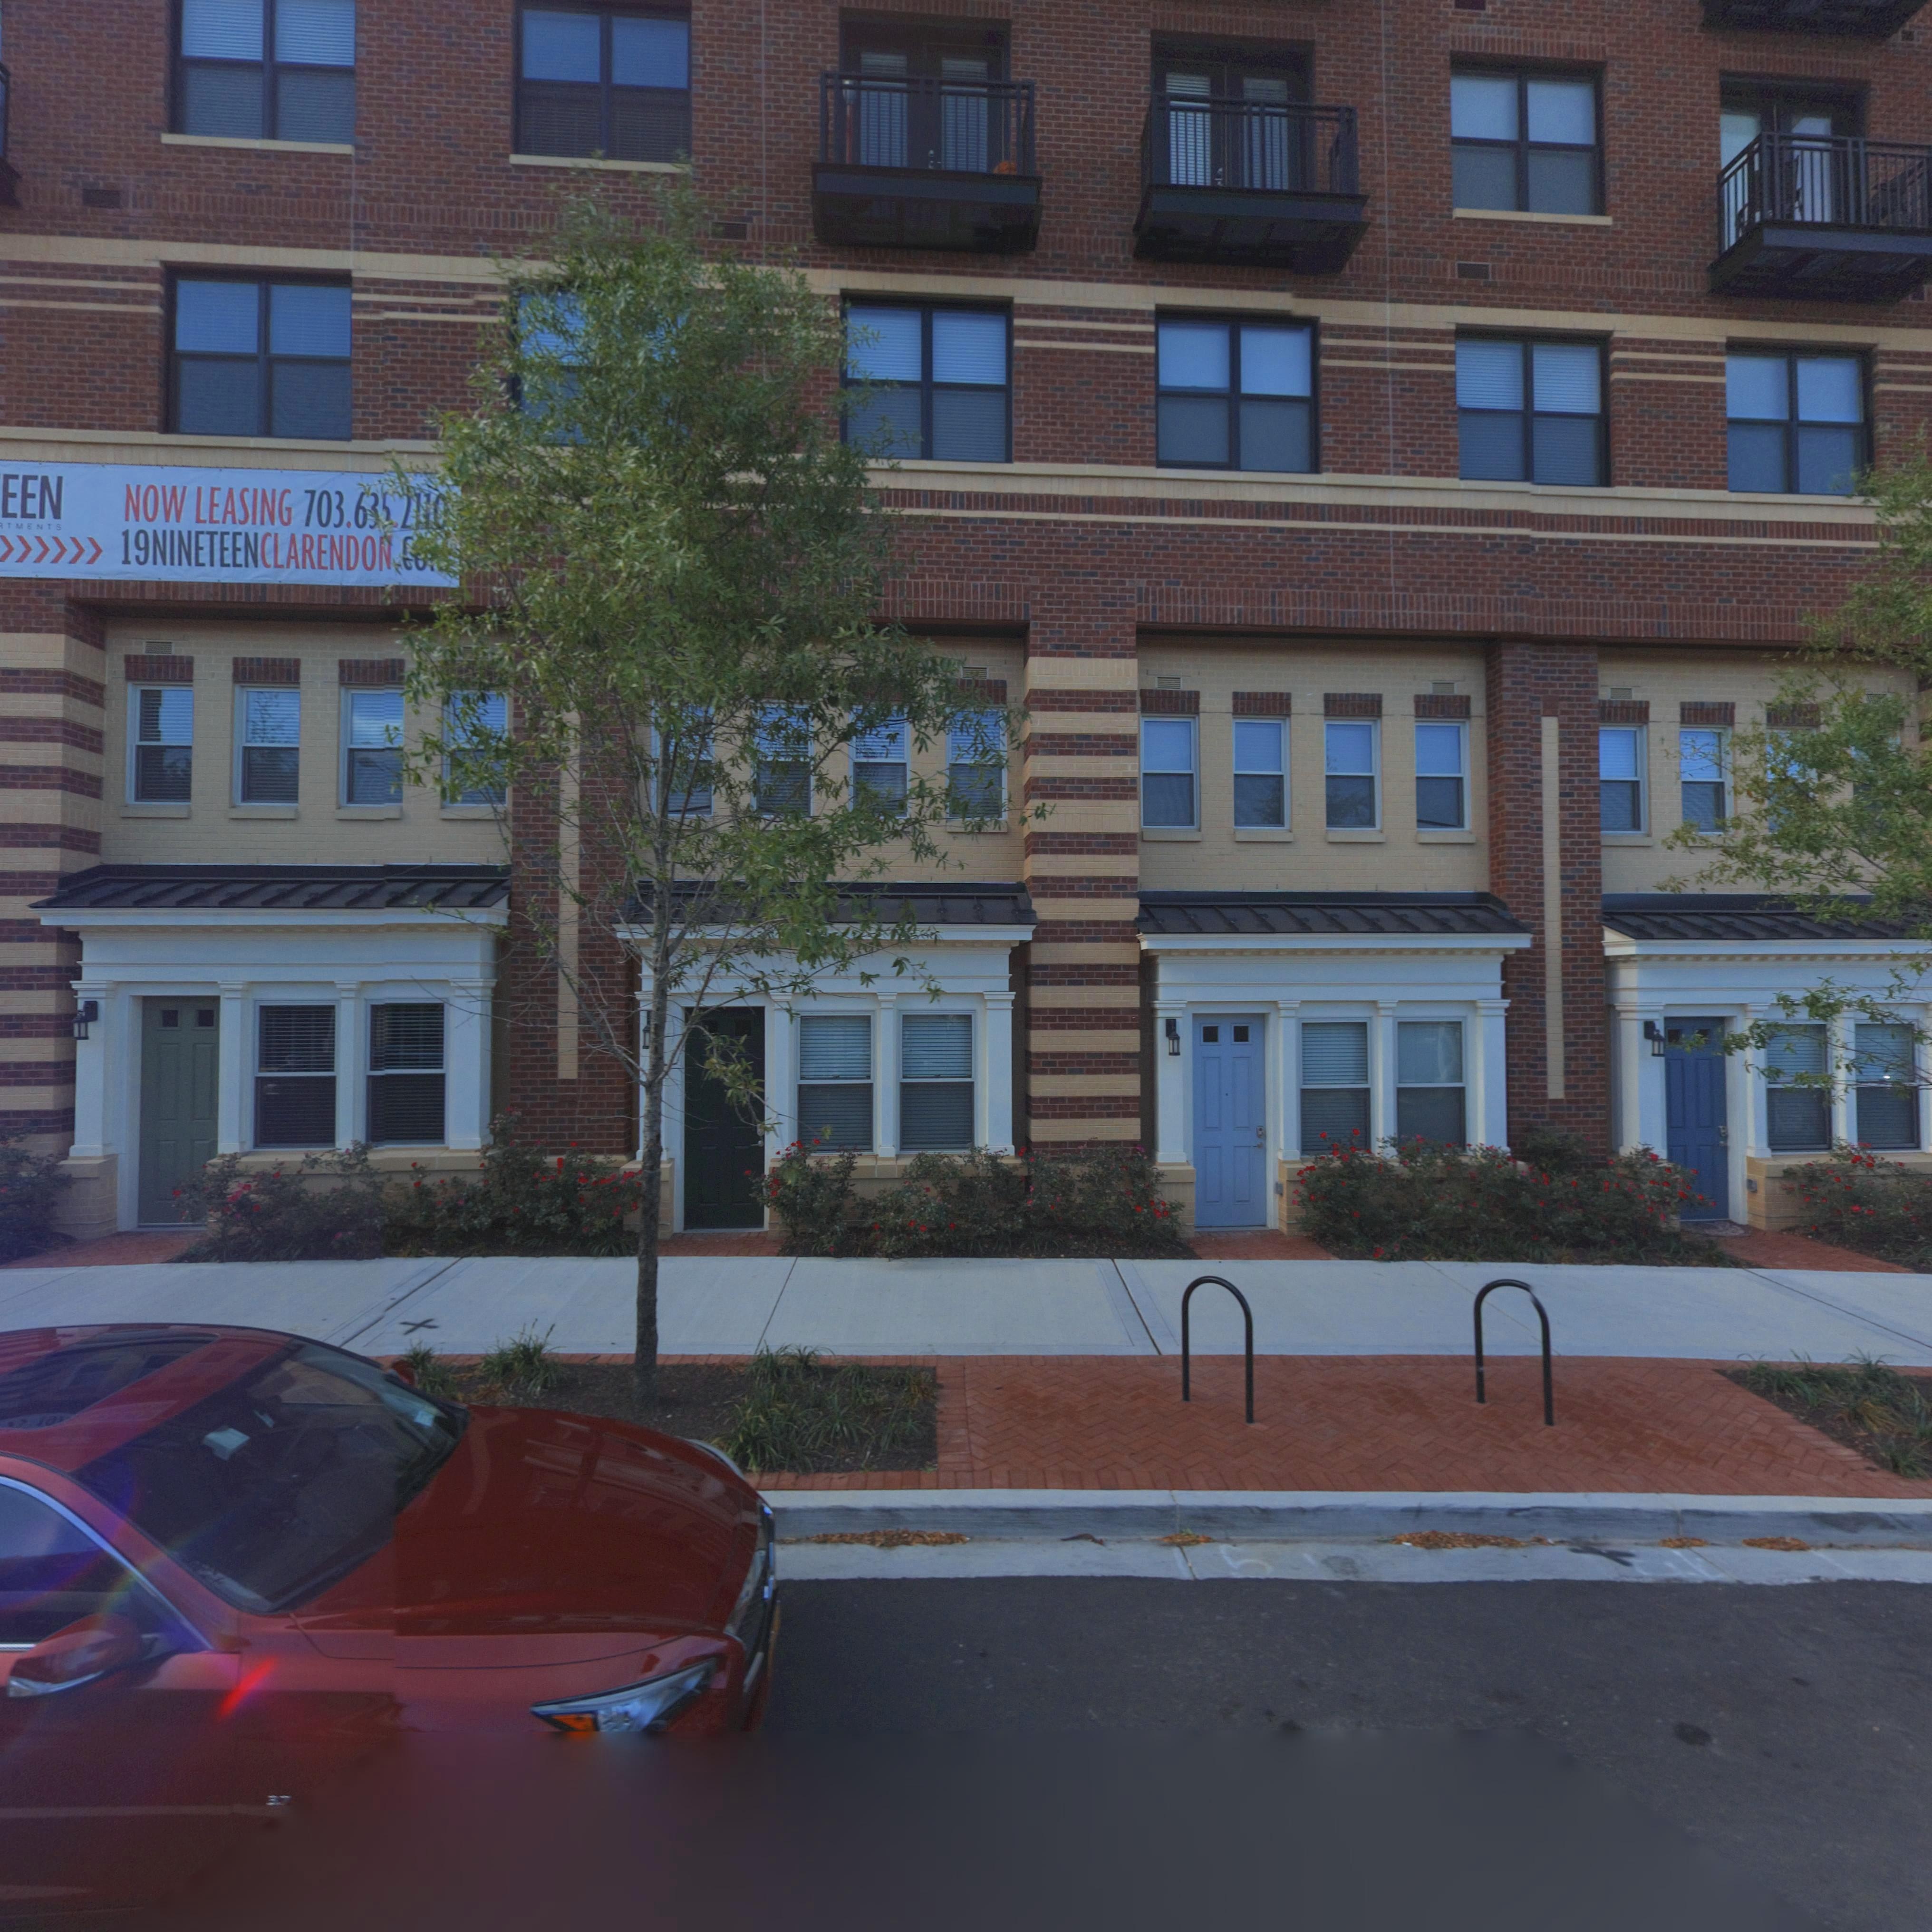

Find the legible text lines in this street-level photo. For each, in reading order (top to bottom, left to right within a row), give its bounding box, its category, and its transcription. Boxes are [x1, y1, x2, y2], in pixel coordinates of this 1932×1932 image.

[0, 470, 66, 522] None: EEN
[4, 520, 63, 532] None: TMENTS
[121, 479, 370, 531] None: NOW LEASING 703.6
[119, 526, 379, 573] None: 19NINETEENCLARENDO